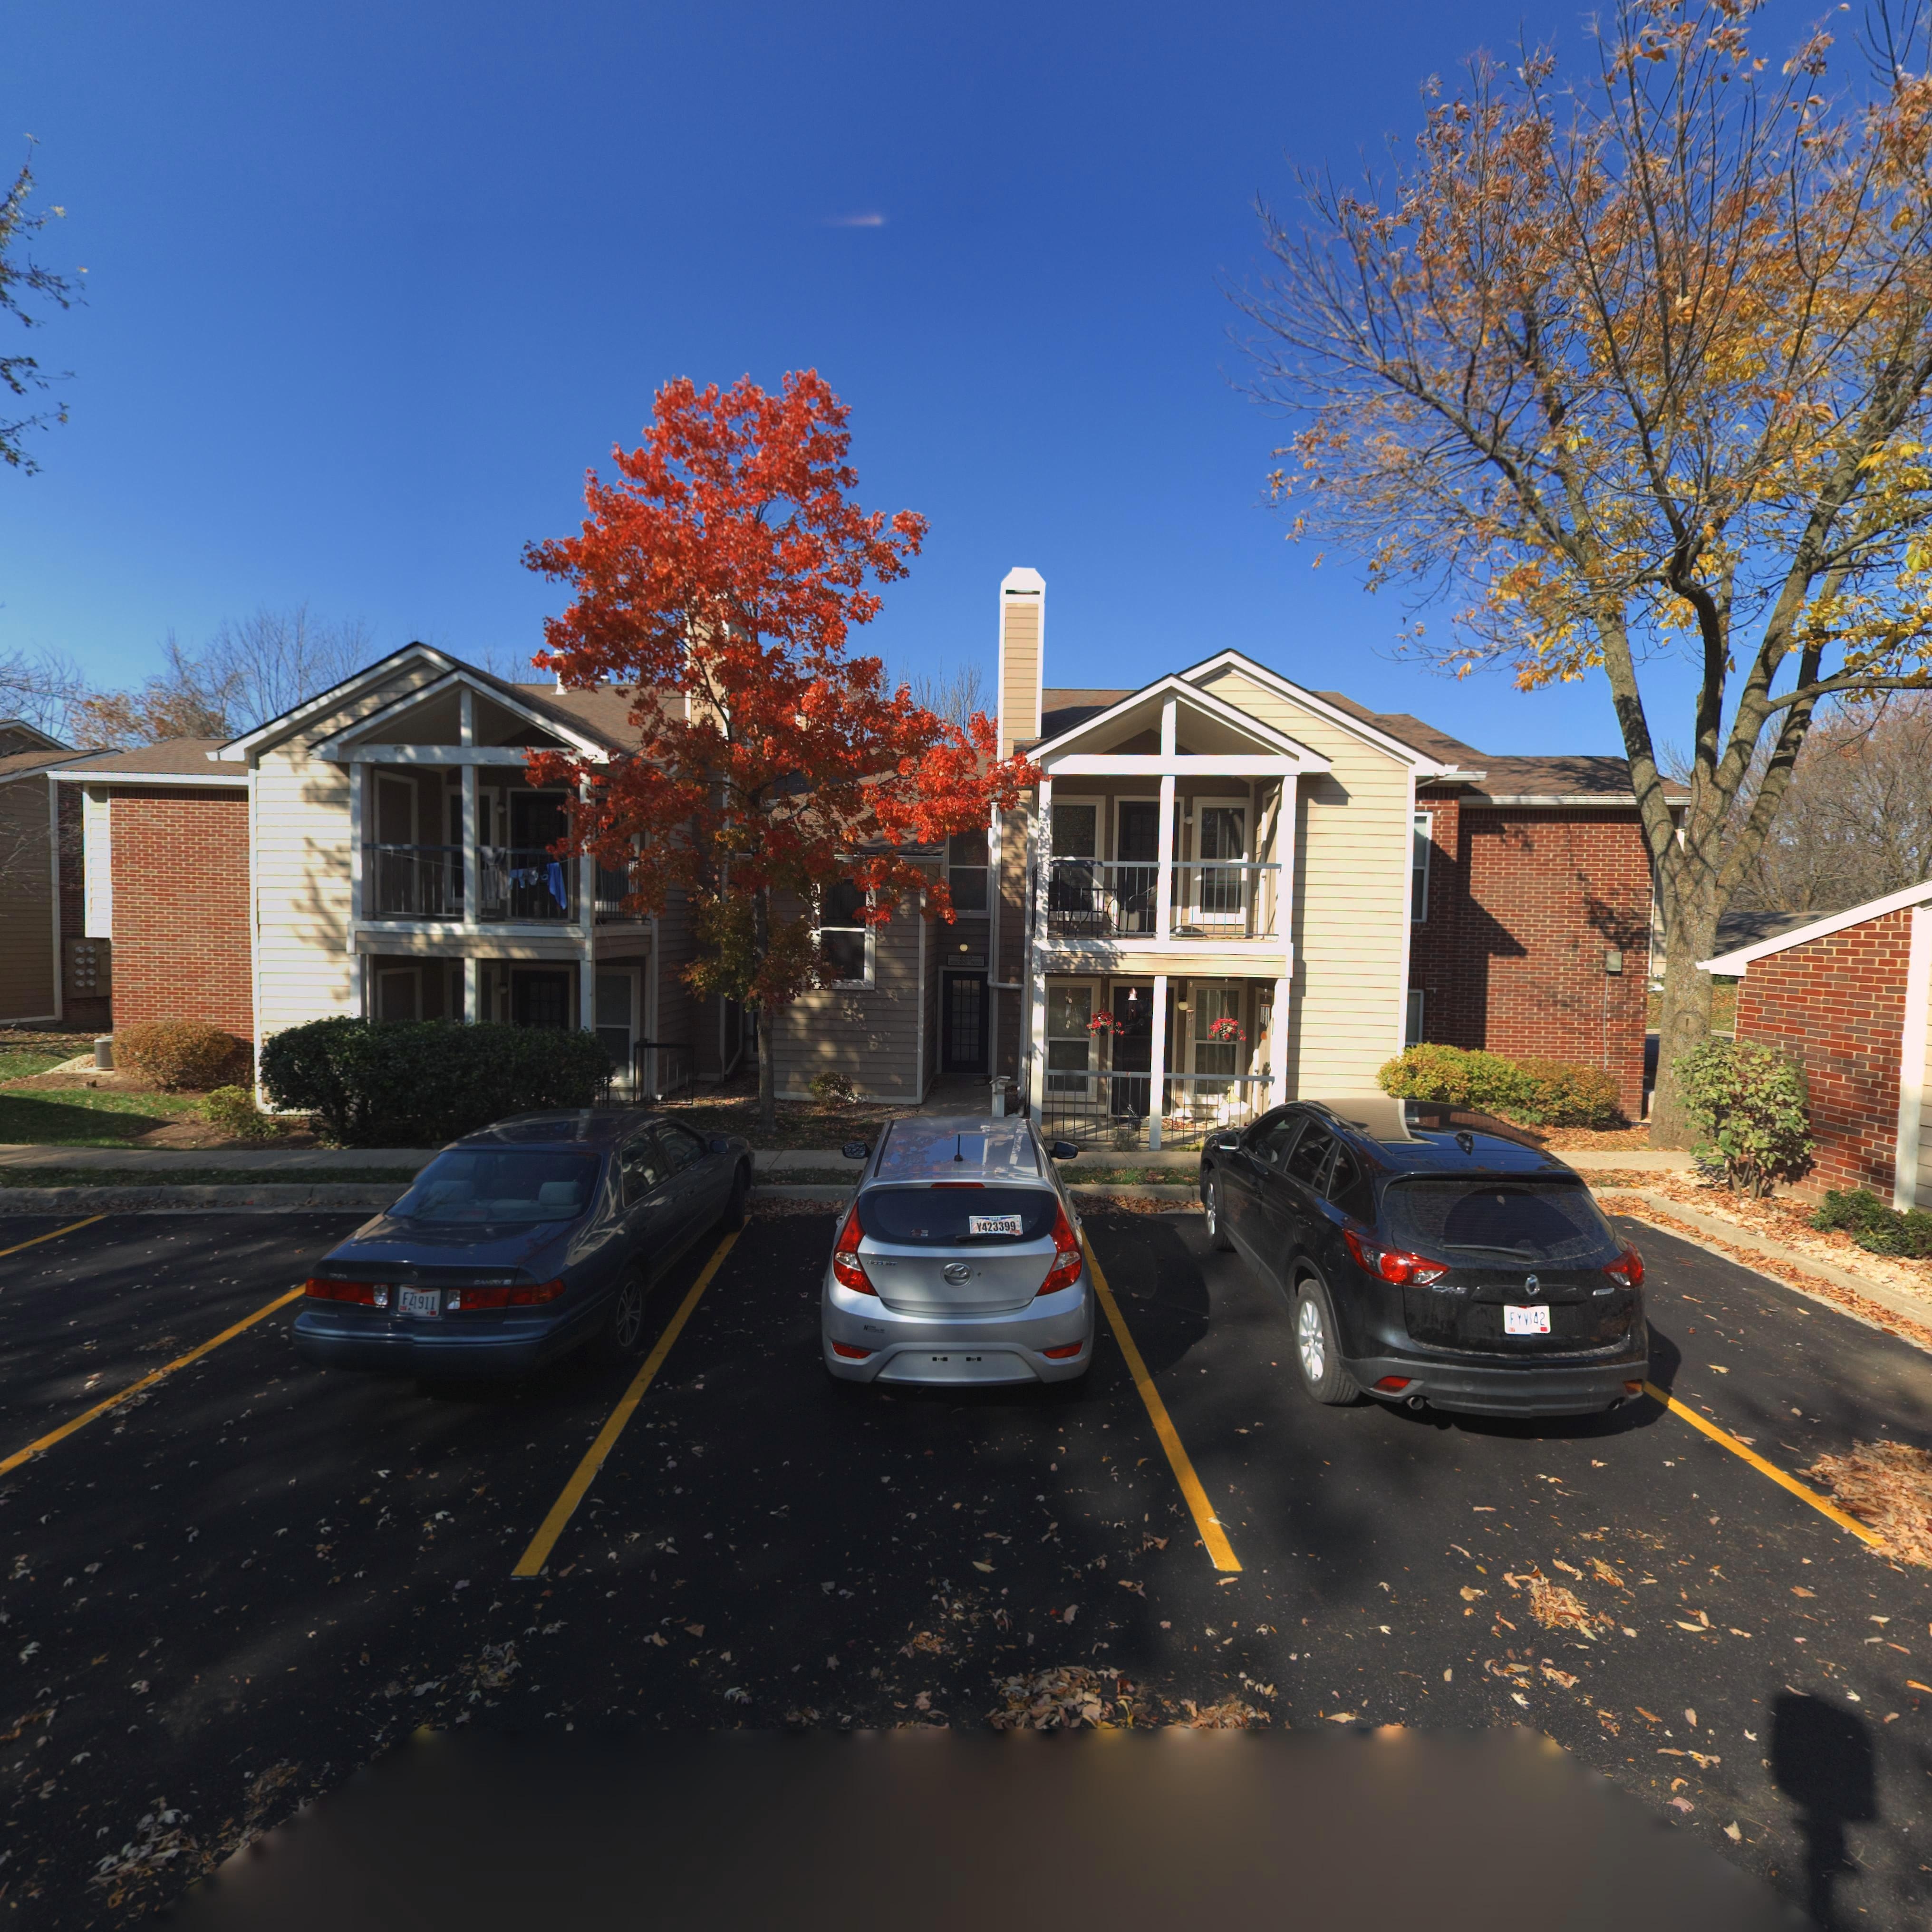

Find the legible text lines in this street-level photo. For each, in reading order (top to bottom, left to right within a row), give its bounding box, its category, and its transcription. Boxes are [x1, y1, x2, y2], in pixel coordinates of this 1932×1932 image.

[959, 955, 973, 962] StreetNumber: 66*
[974, 960, 981, 966] StreetName: W
[975, 1220, 1017, 1233] None: Y423399
[401, 1290, 437, 1312] None: F**911
[1509, 1311, 1546, 1326] None: FYV*42